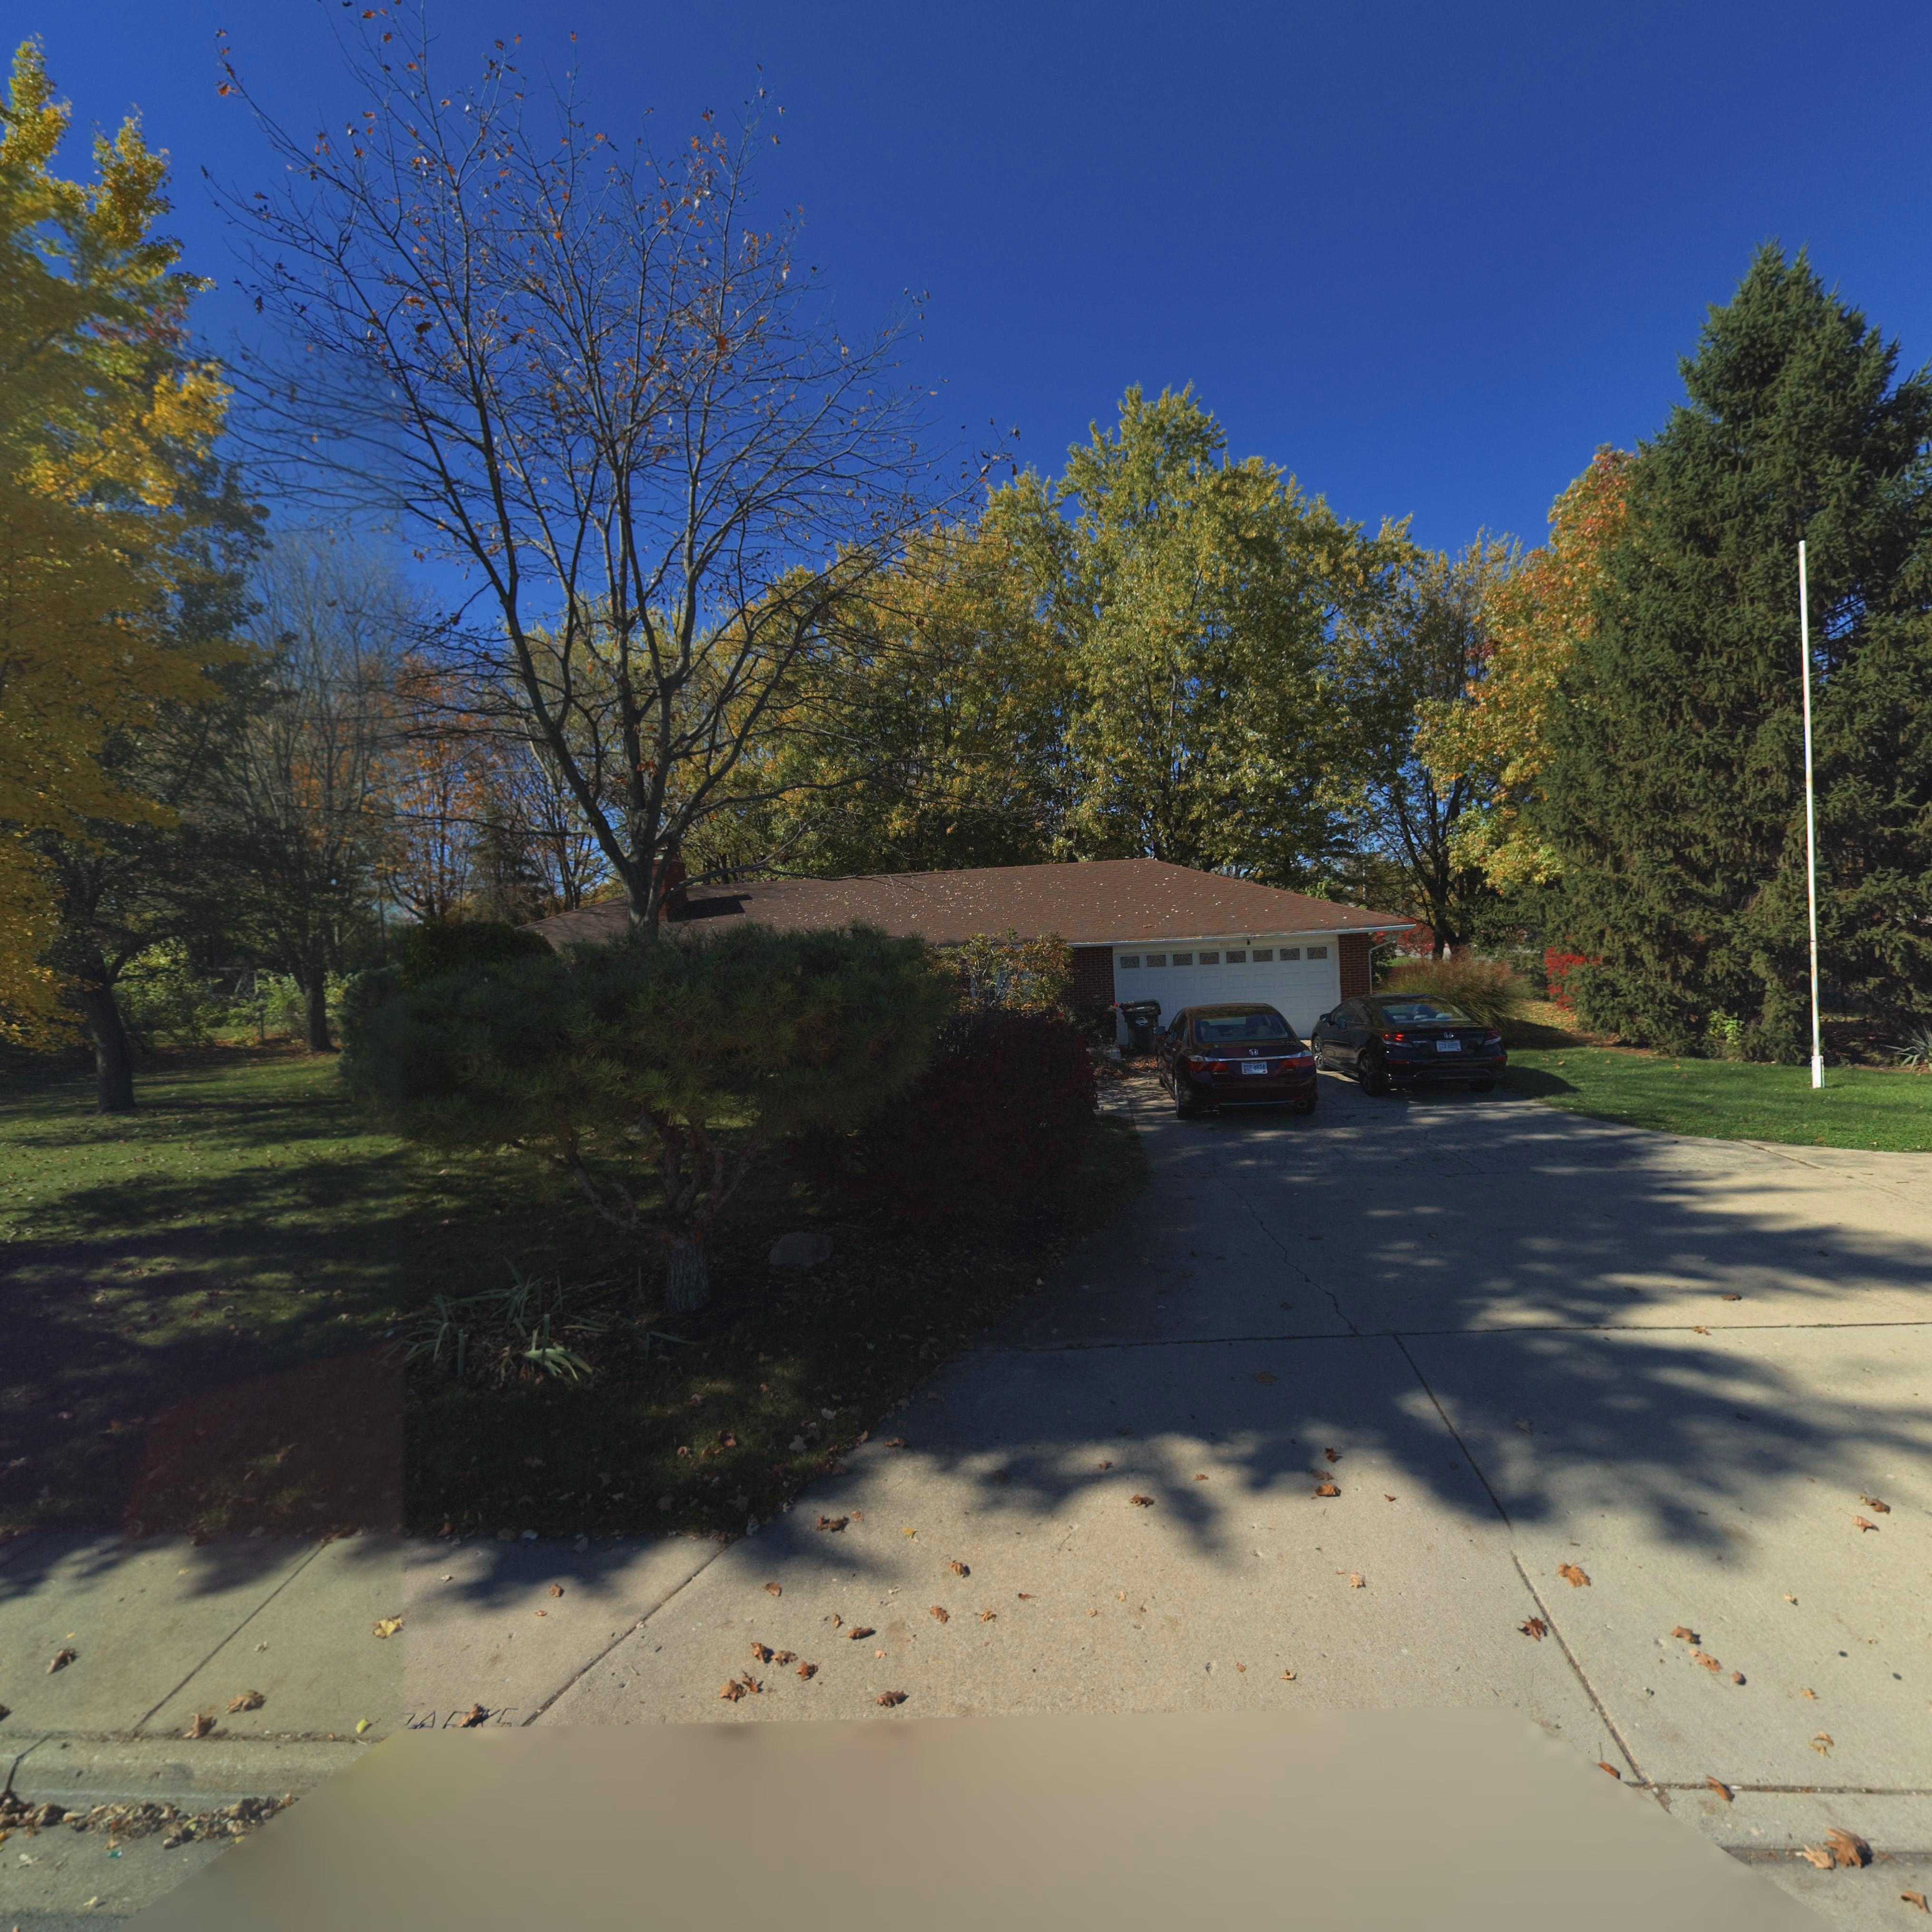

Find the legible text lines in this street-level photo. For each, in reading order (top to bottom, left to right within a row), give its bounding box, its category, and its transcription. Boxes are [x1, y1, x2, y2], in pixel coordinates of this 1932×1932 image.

[1219, 942, 1230, 949] StreetNumber: *0*